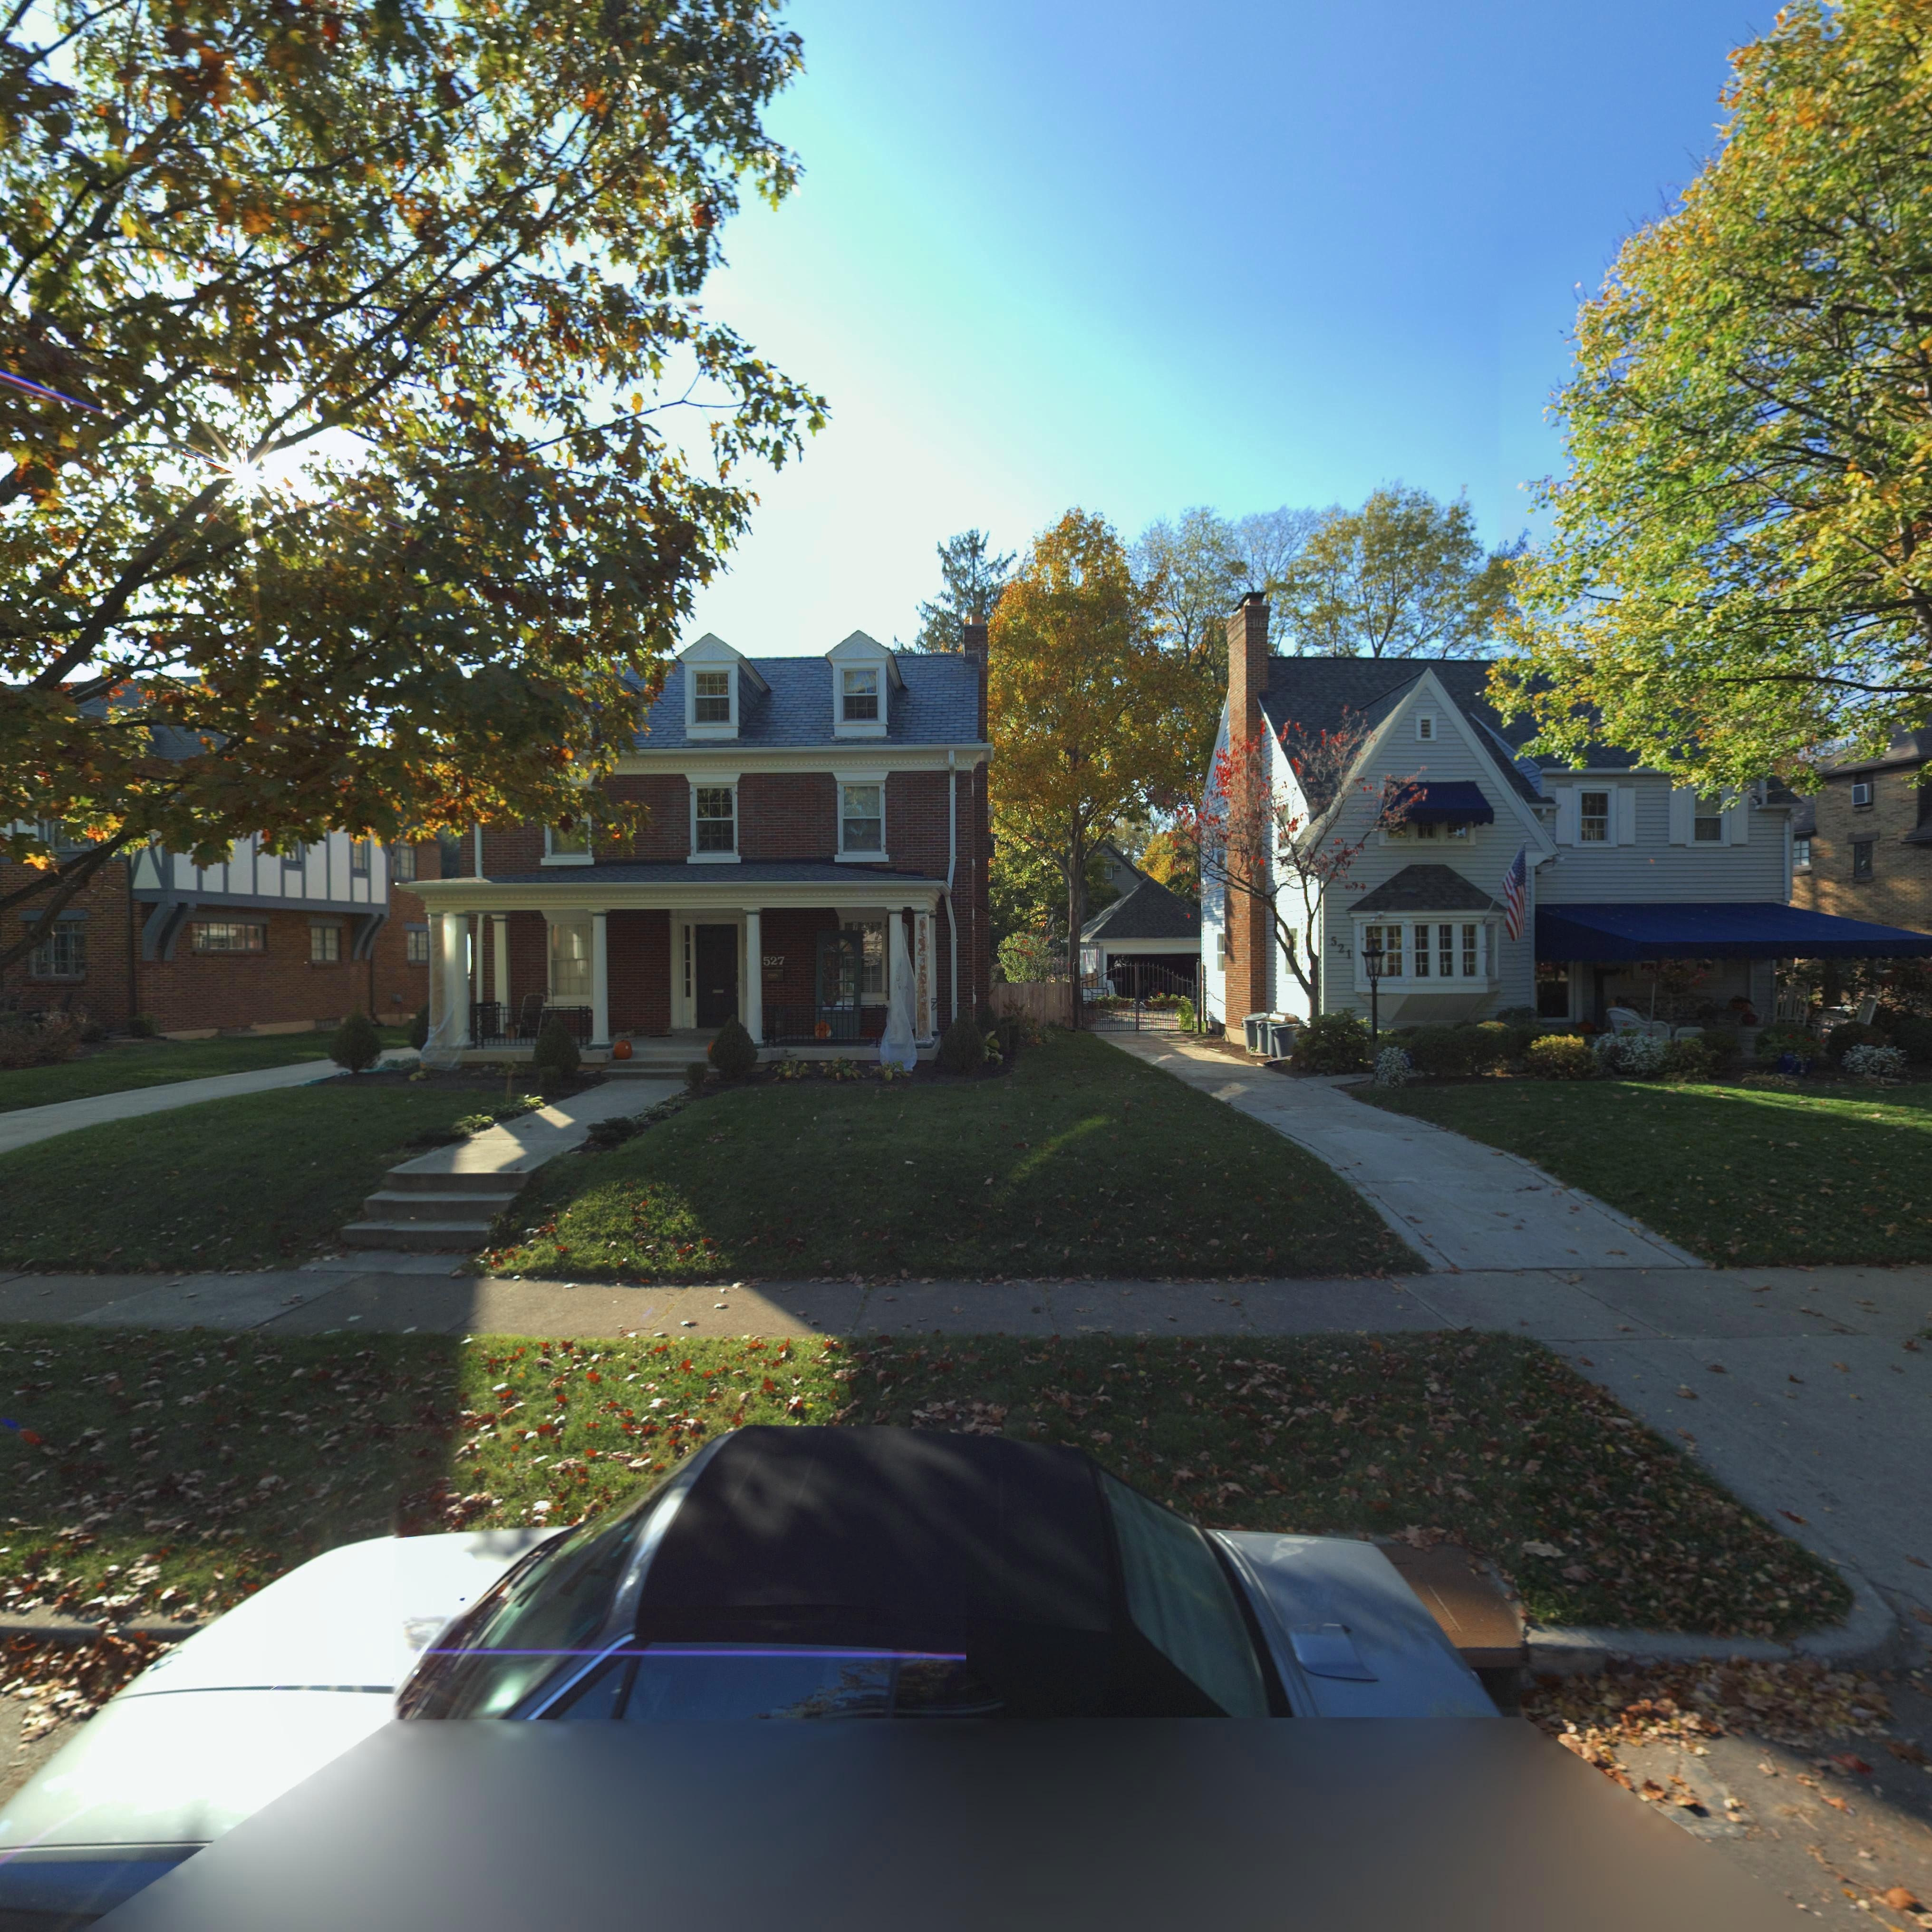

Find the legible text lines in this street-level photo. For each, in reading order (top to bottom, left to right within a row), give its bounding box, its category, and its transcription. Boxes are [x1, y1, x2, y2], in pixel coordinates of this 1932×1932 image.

[1330, 935, 1352, 960] StreetNumber: 521
[762, 955, 786, 967] StreetNumber: 527